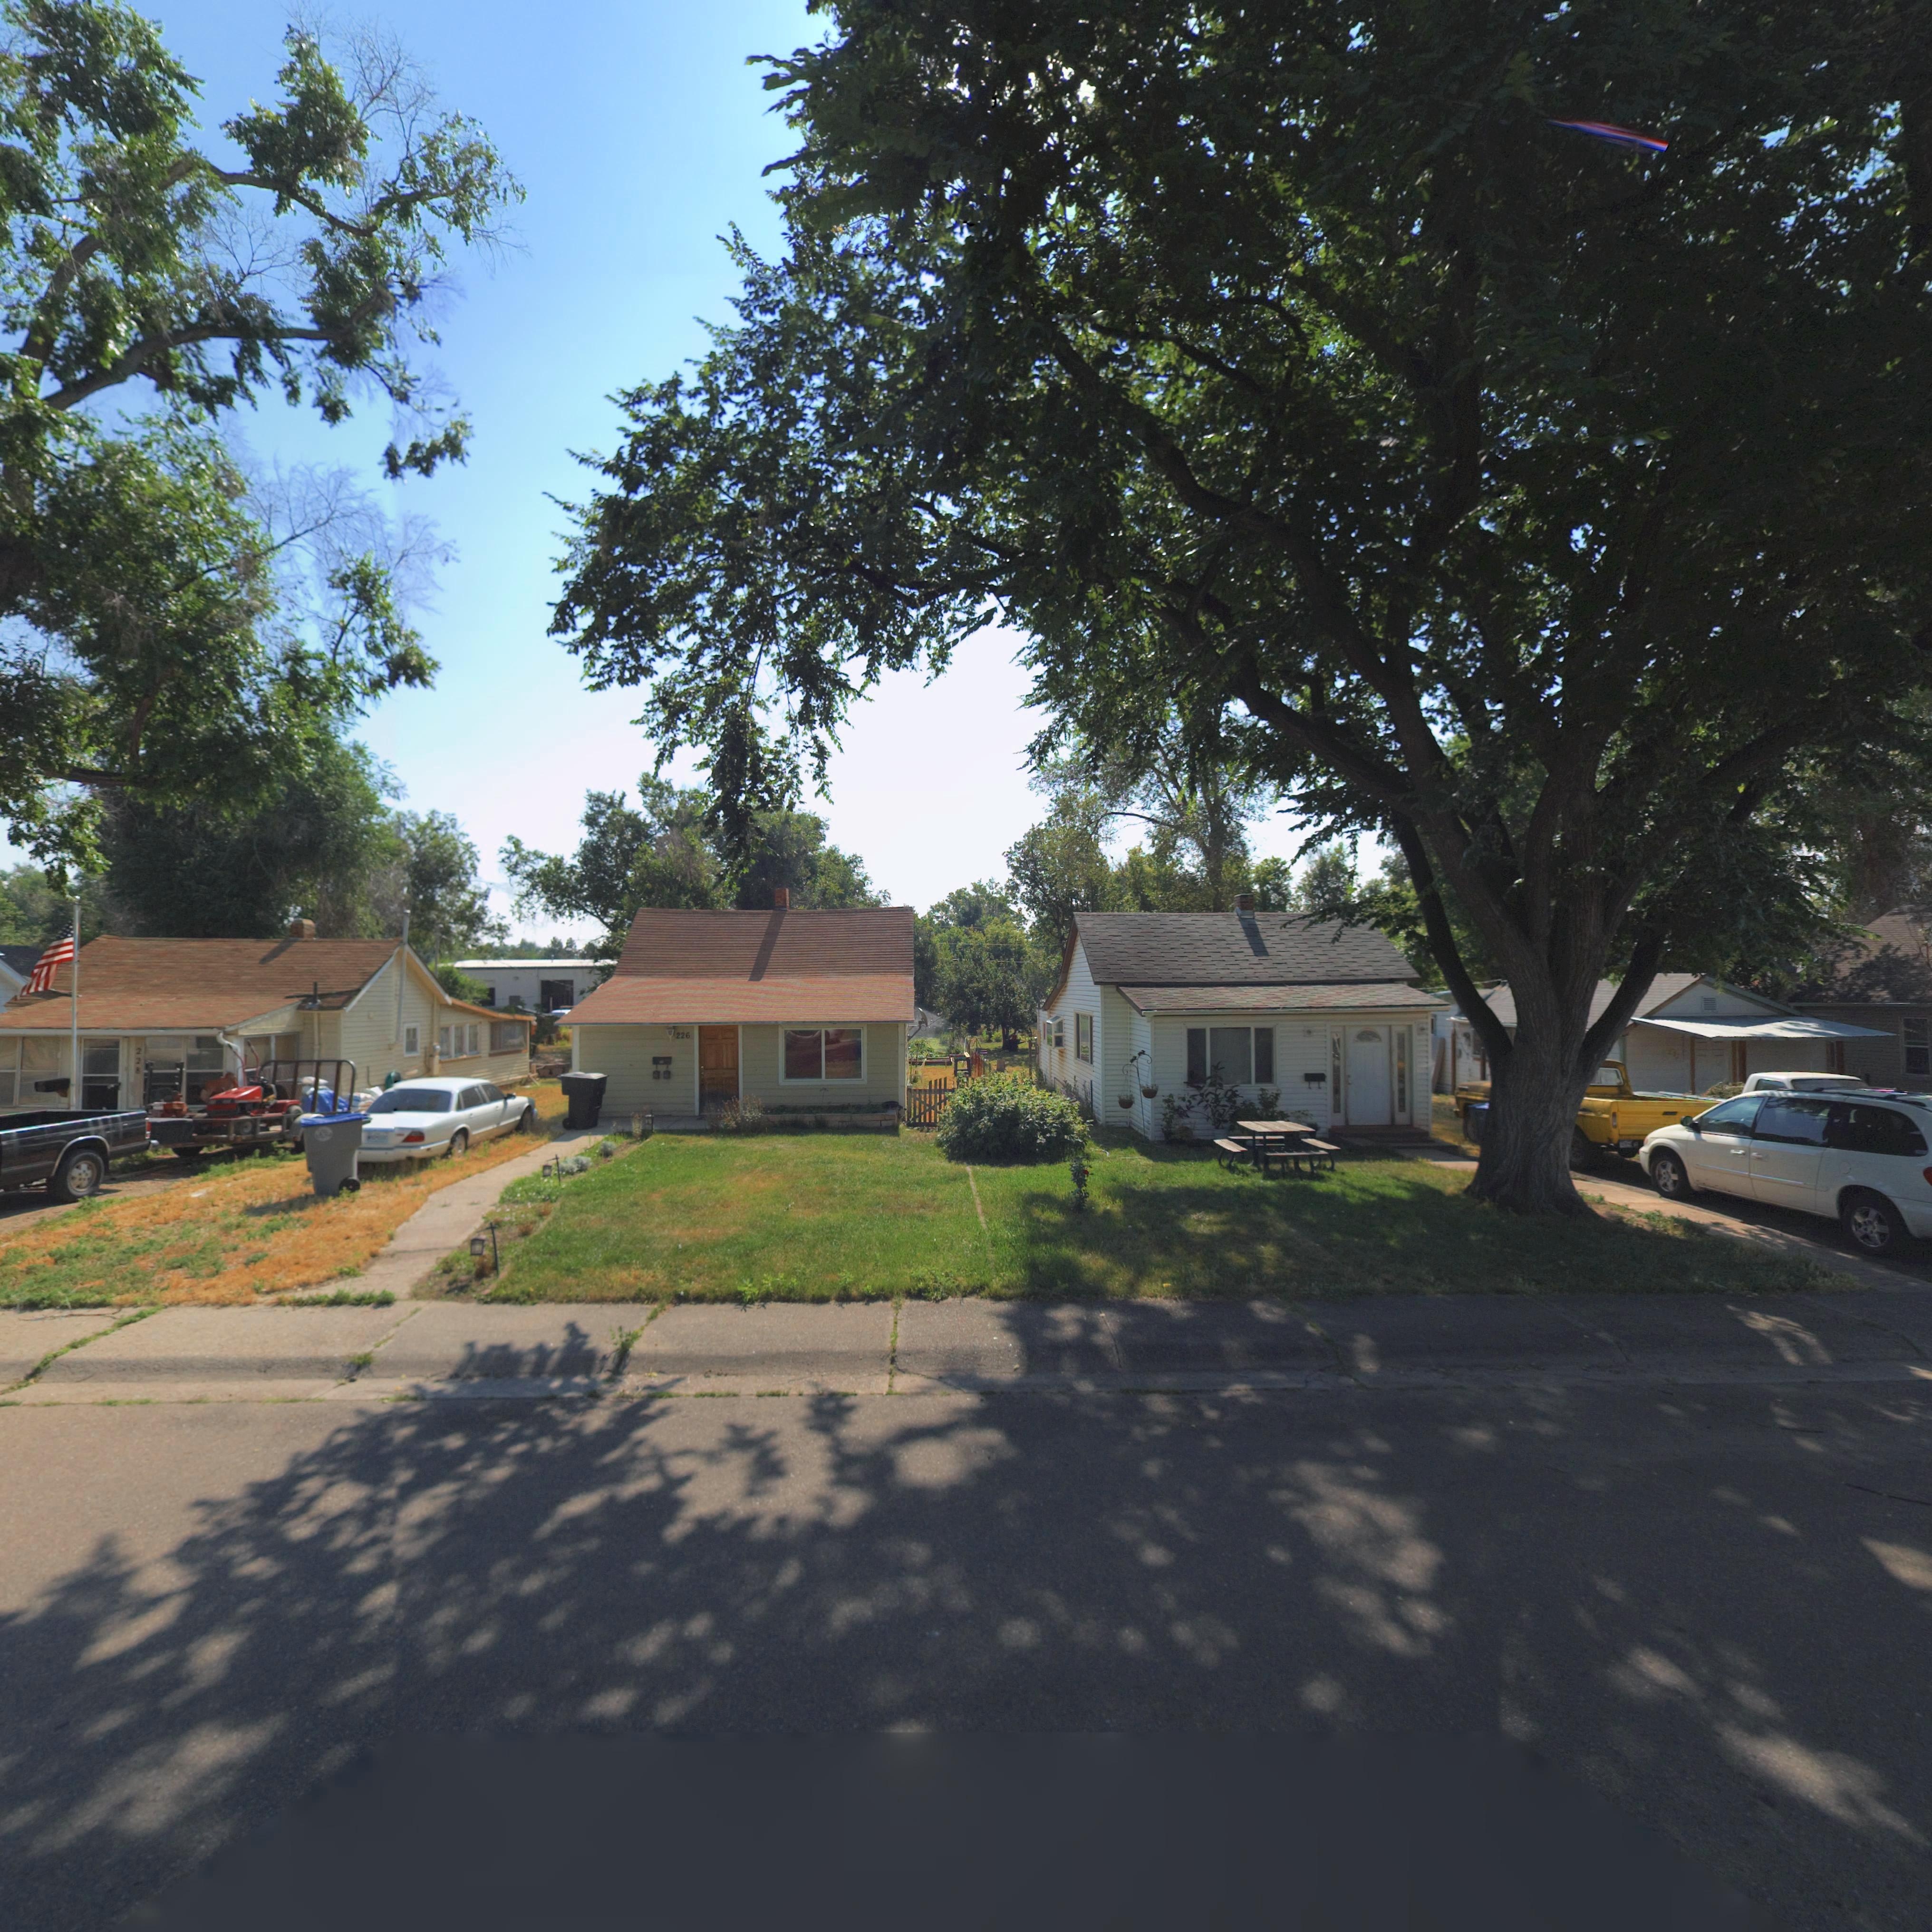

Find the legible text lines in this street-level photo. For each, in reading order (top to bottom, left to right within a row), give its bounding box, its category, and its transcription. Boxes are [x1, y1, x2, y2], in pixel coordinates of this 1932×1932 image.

[675, 1032, 690, 1039] StreetNumber: 226
[135, 1046, 142, 1074] StreetNumber: 228